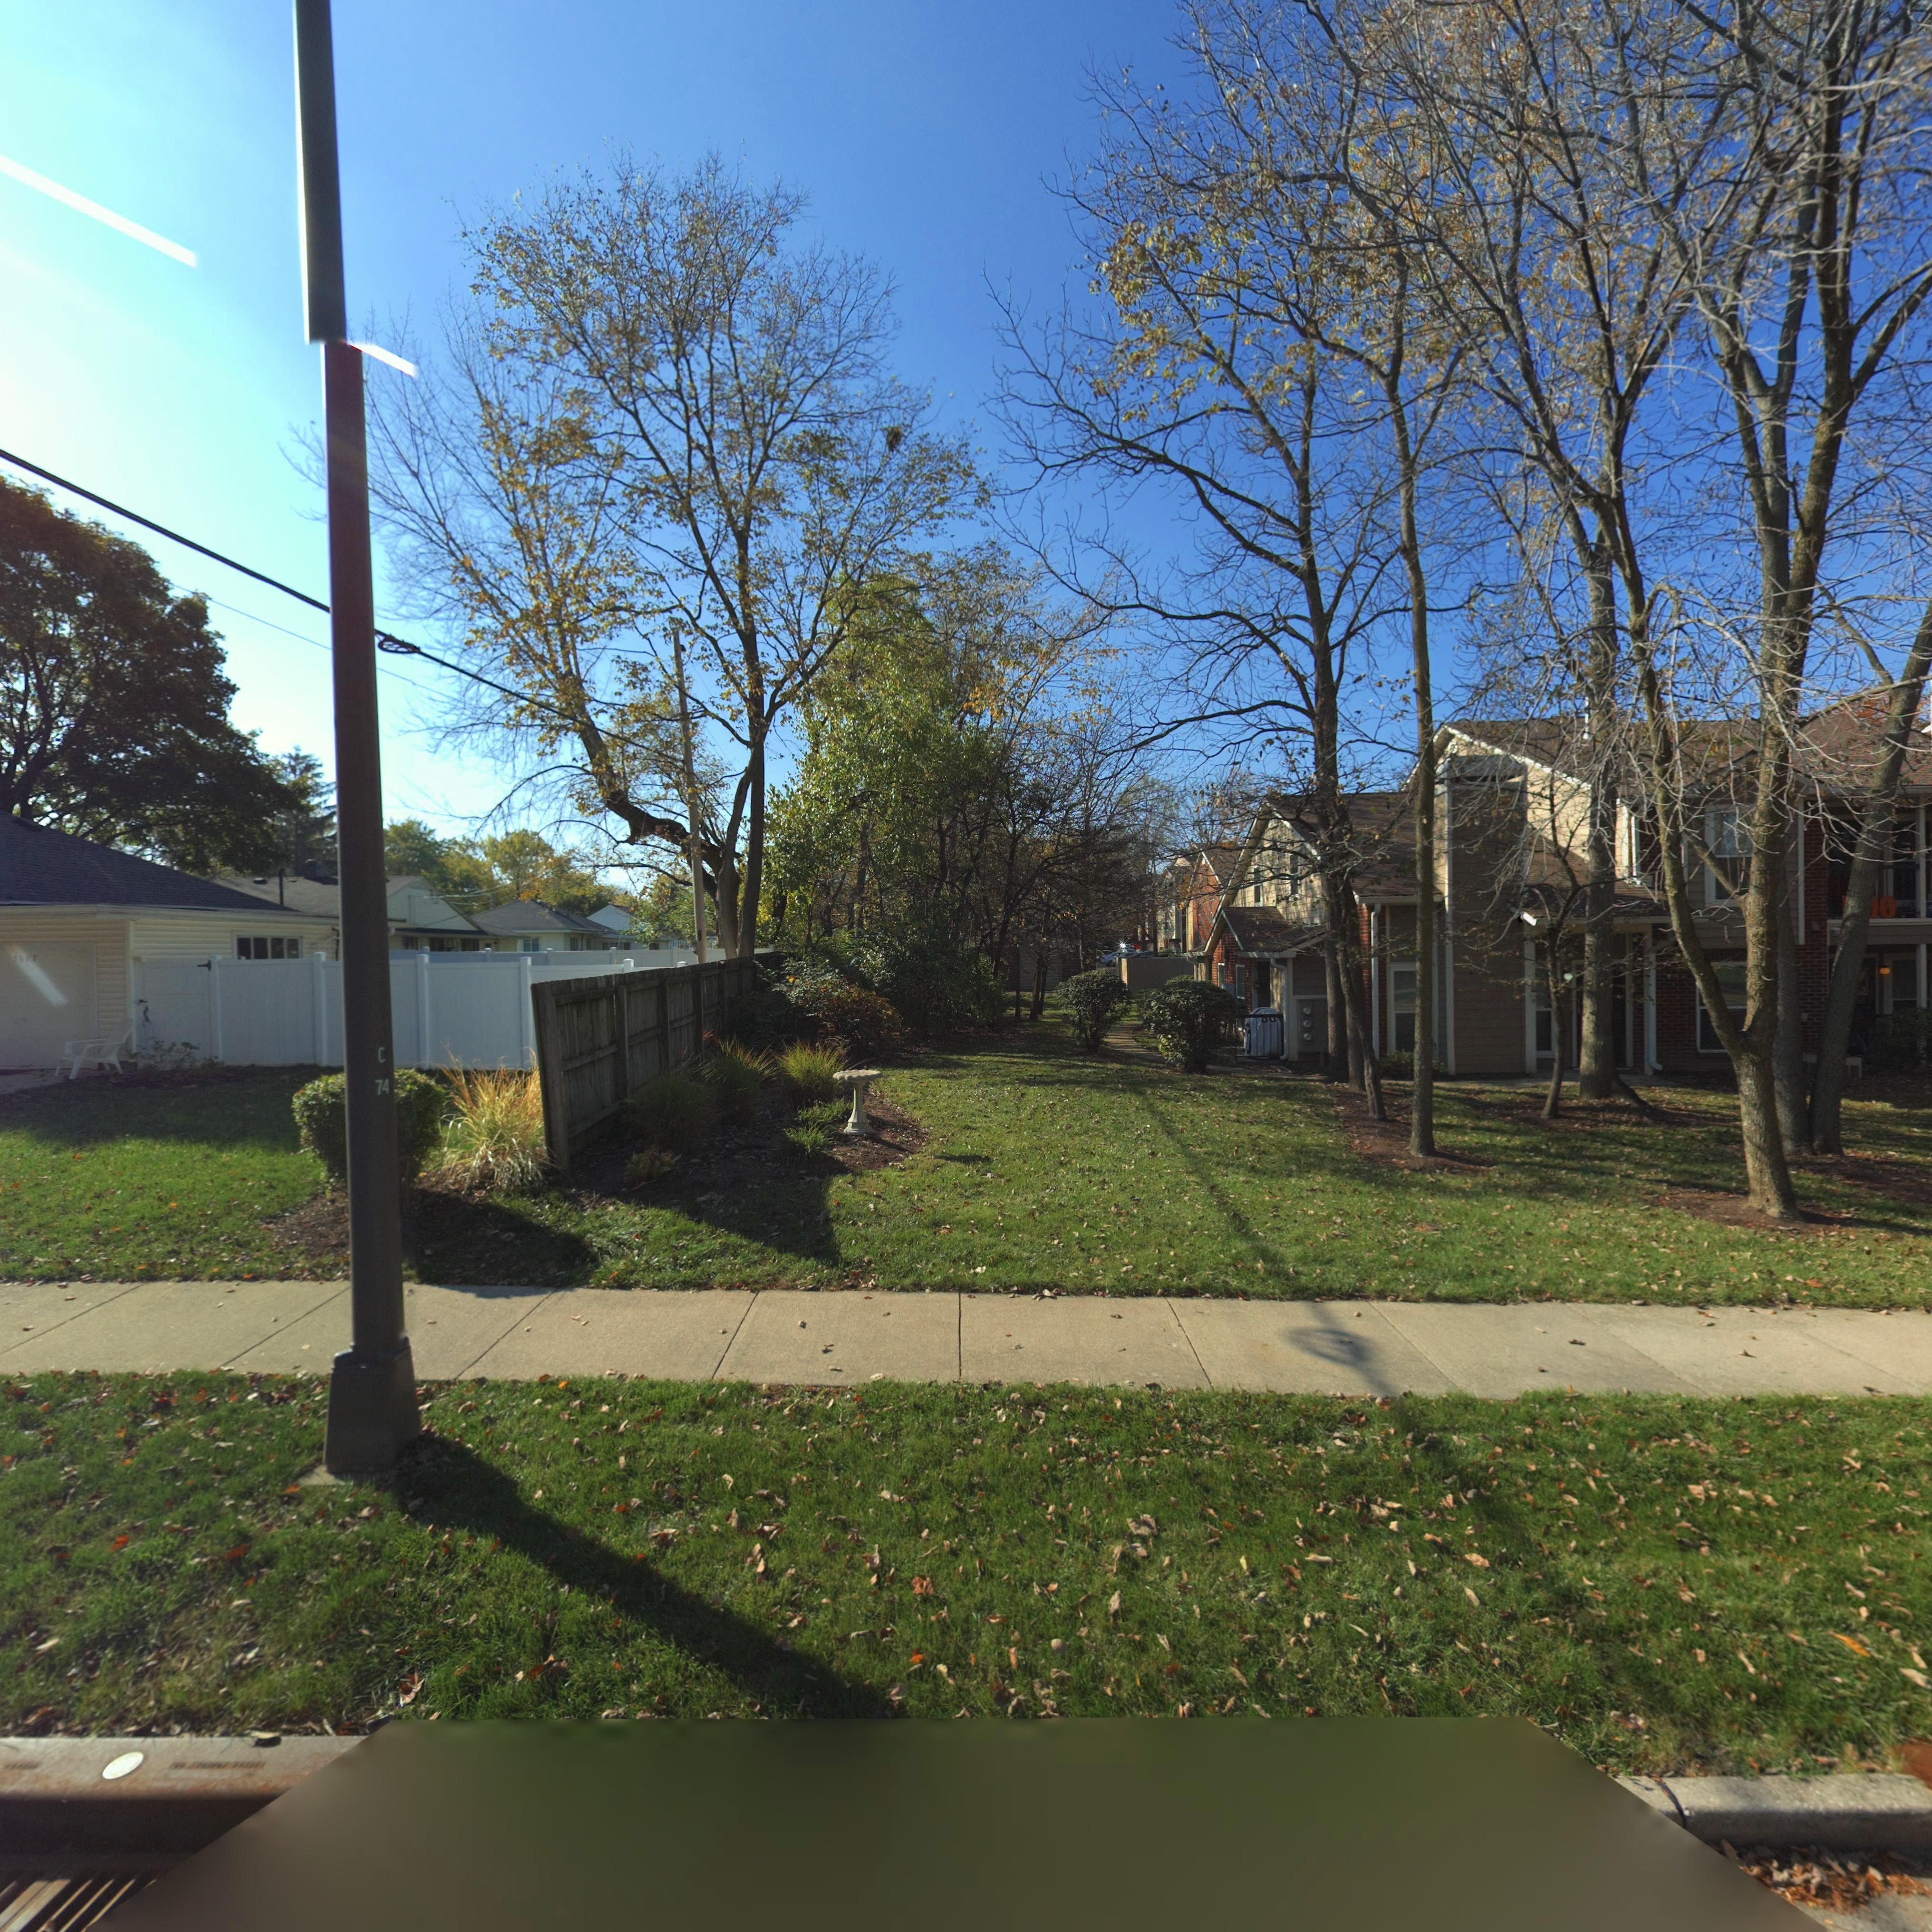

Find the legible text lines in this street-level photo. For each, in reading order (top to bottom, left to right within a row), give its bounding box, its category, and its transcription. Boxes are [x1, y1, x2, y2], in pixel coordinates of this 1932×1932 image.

[10, 955, 38, 963] StreetNumber: 3667
[377, 1046, 386, 1063] None: C
[375, 1078, 389, 1096] None: 74